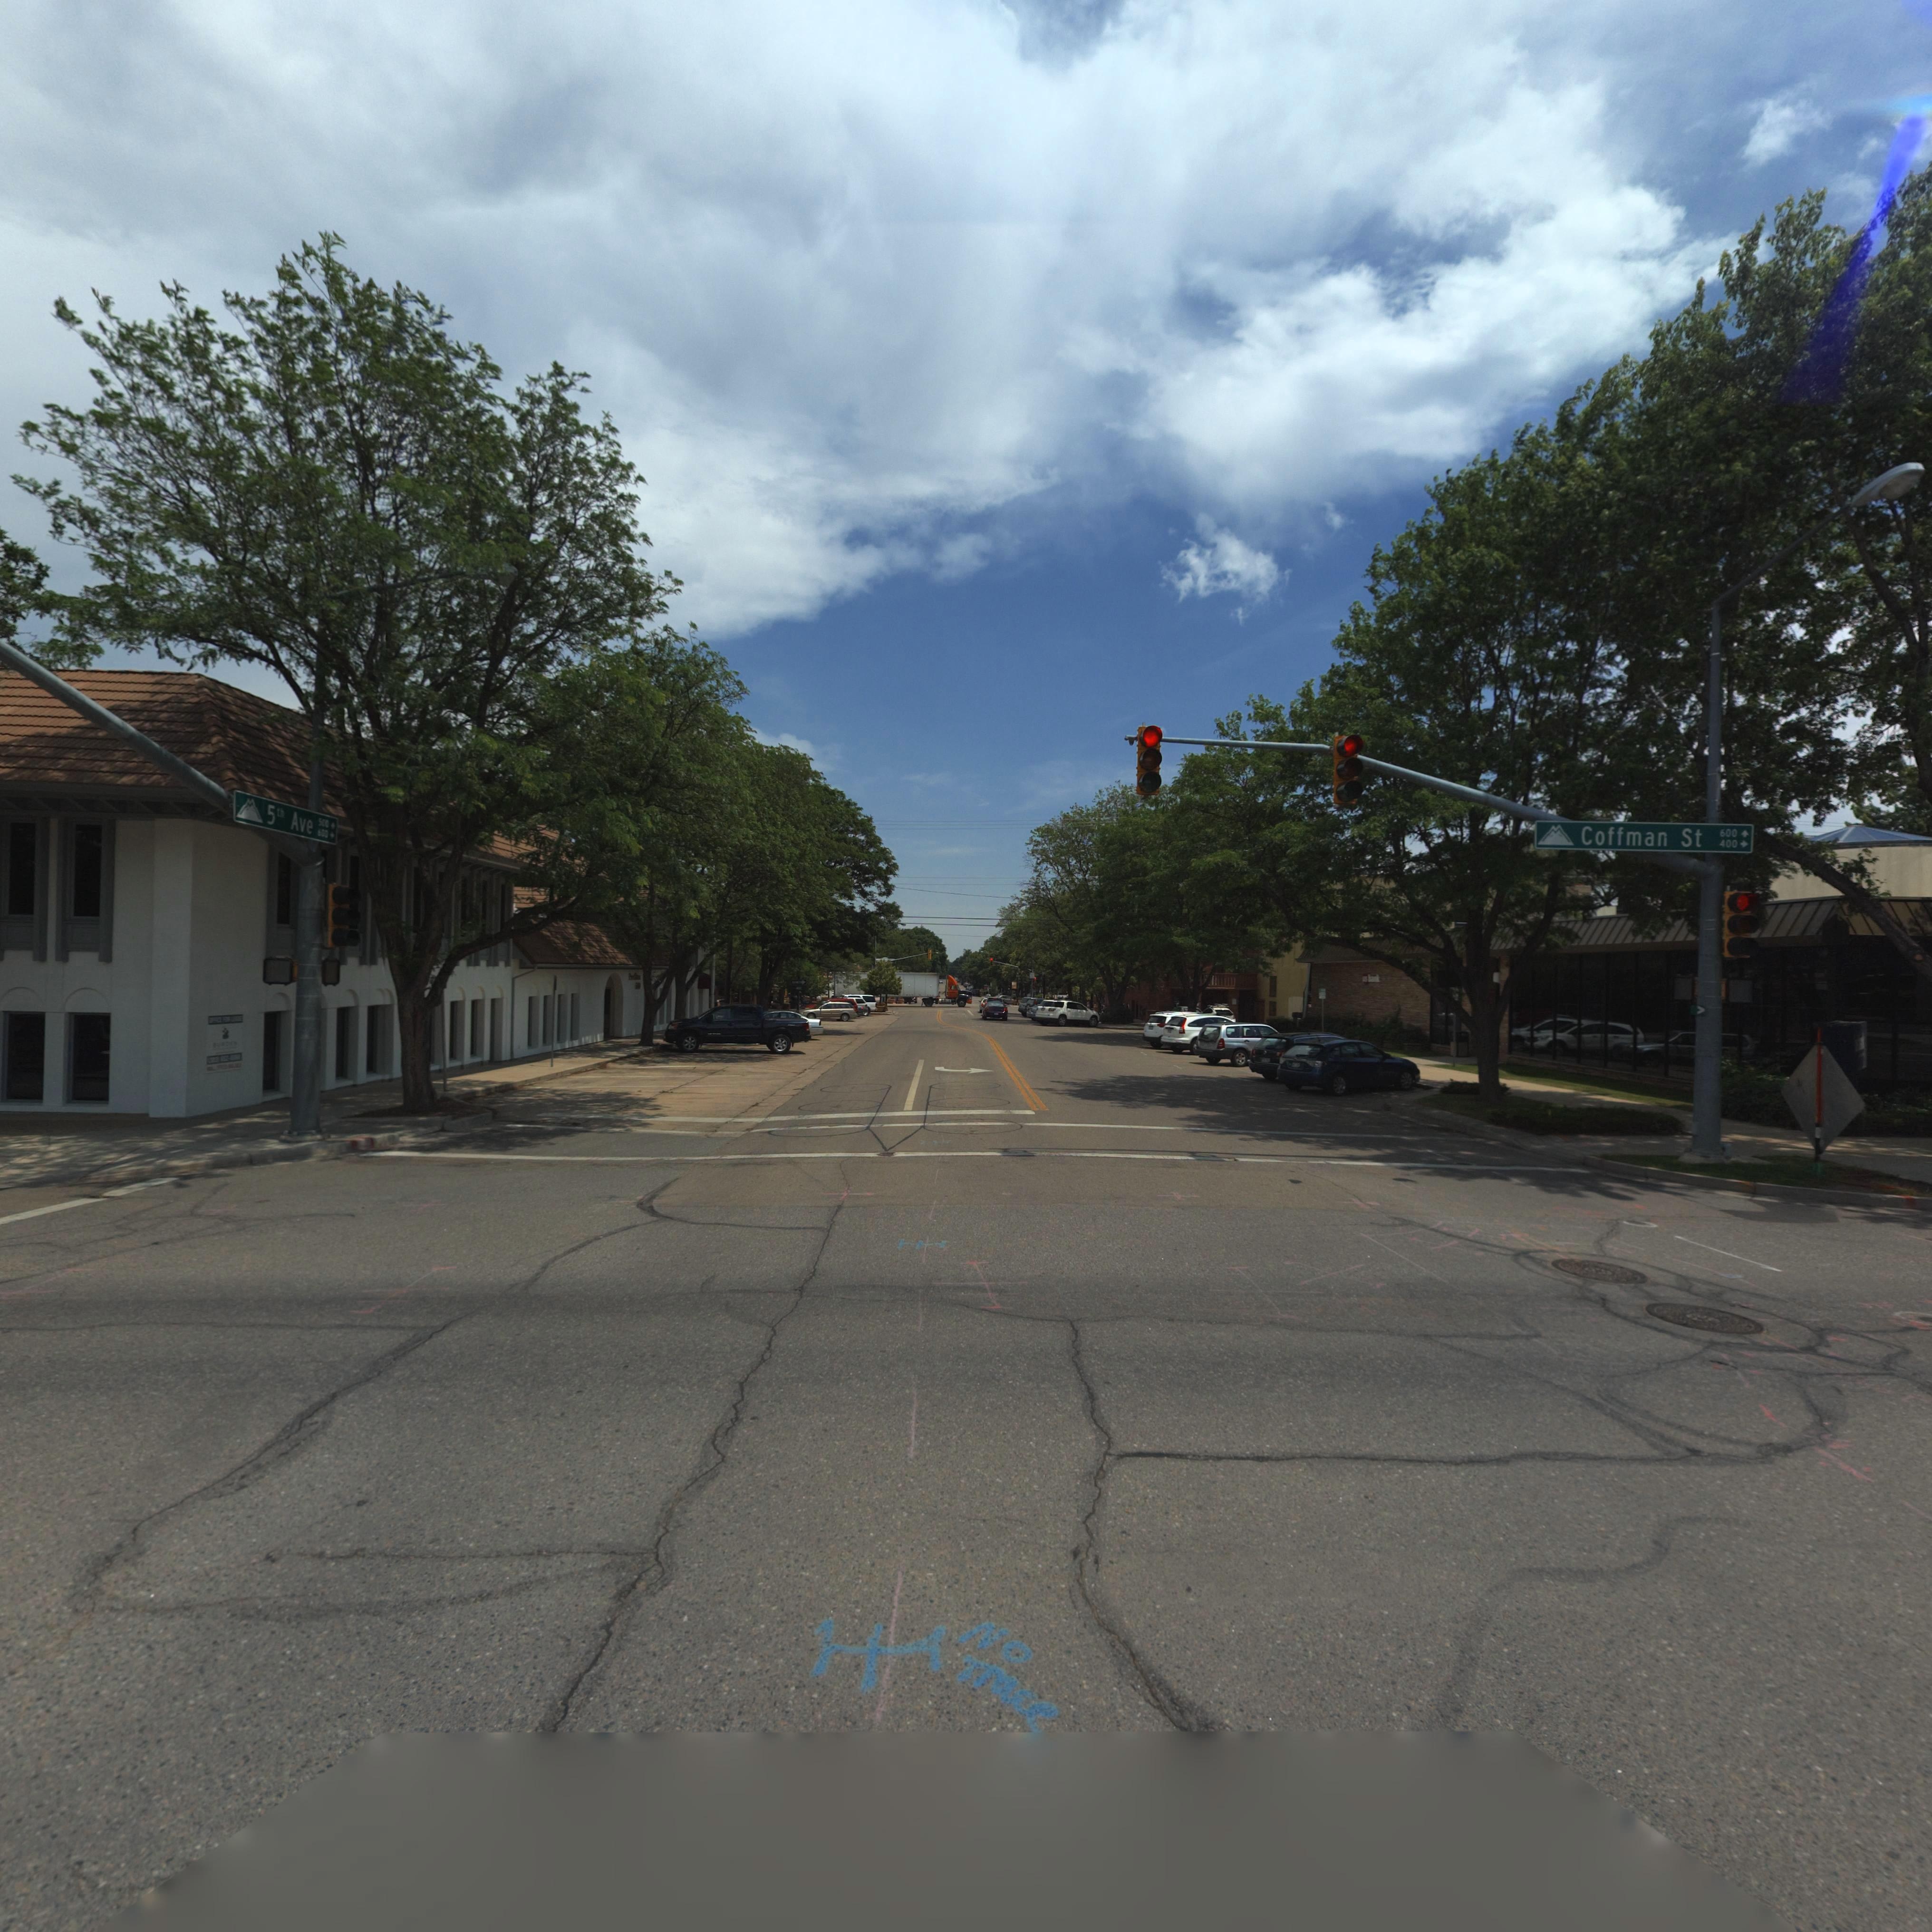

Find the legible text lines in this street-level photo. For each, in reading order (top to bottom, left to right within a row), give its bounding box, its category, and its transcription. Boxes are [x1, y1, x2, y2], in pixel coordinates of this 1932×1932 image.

[266, 804, 313, 835] StreetName: 5th Ave
[318, 817, 329, 828] StreetNumberRange: 500
[318, 828, 334, 839] StreetNumberRange: 600 ->
[1581, 826, 1703, 848] StreetName: Coffman St
[1719, 828, 1737, 837] StreetNumberRange: 600
[1719, 839, 1748, 848] StreetNumberRange: 400->
[1362, 974, 1380, 982] BusinessName: usb**k